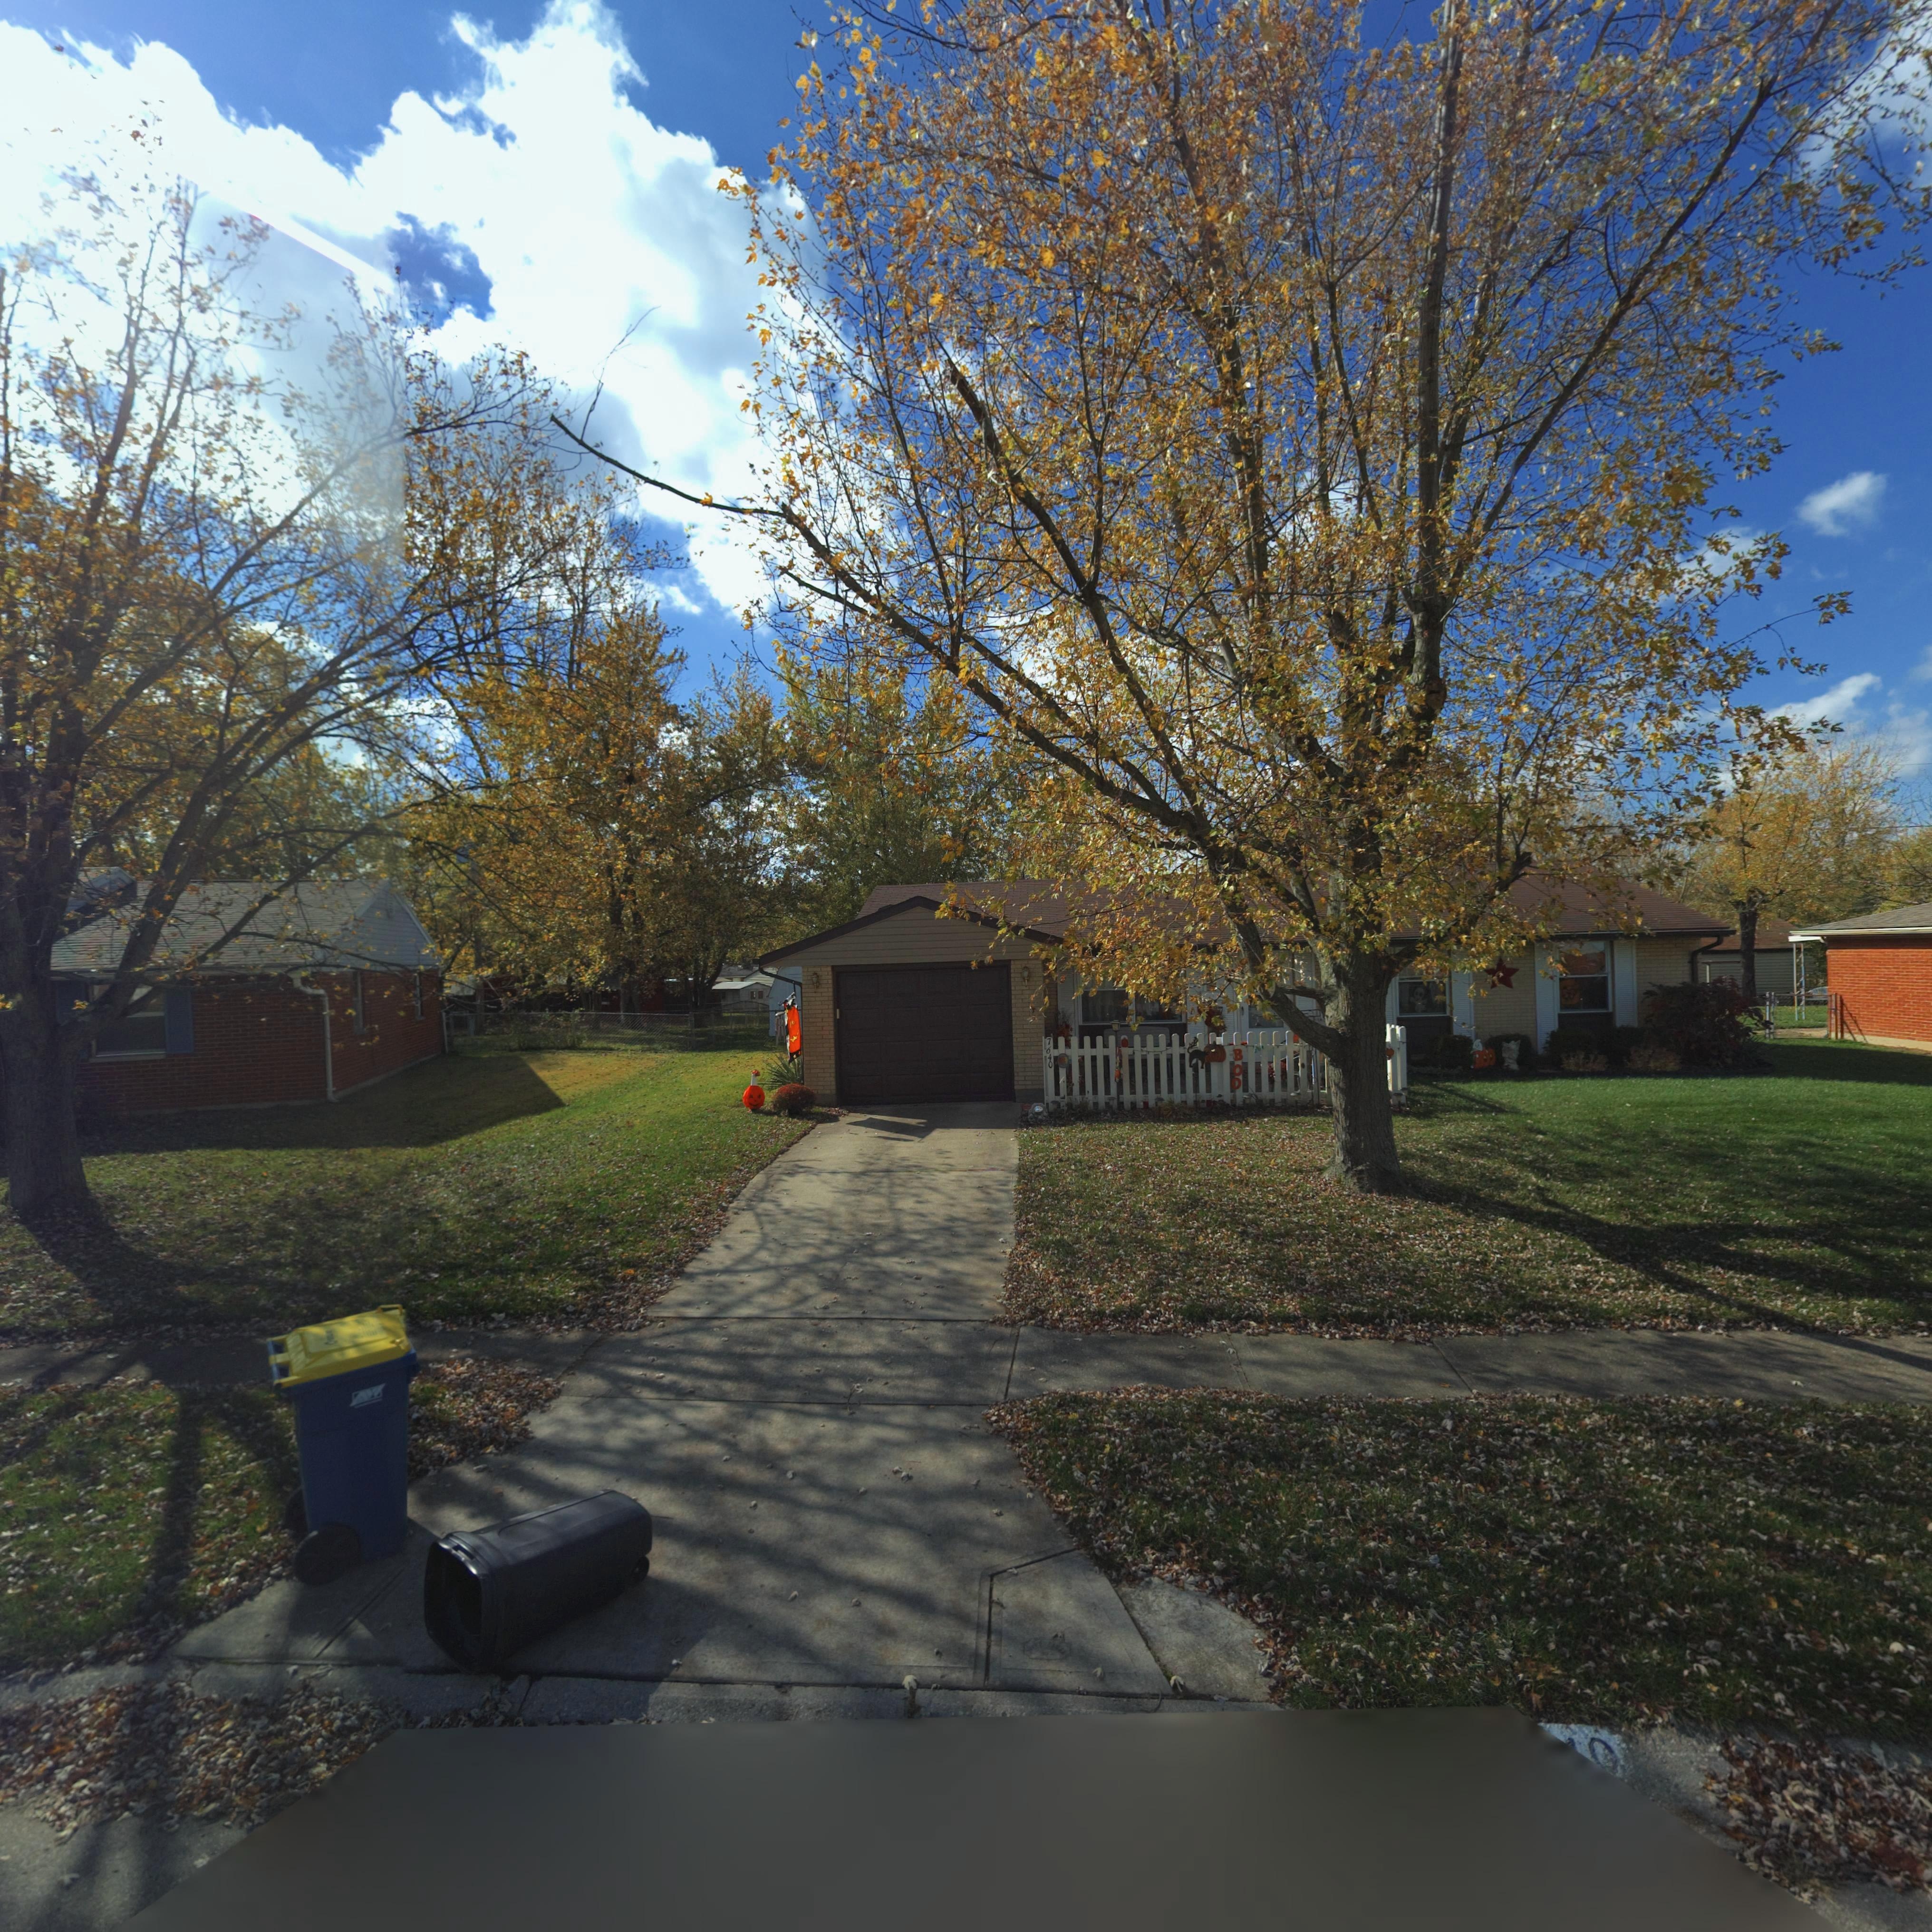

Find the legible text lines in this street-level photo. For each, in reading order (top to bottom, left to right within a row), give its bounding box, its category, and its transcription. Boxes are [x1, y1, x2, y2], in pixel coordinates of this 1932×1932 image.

[1046, 1037, 1053, 1069] StreetNumber: 7640
[1585, 1735, 1621, 1780] StreetNumber: 0